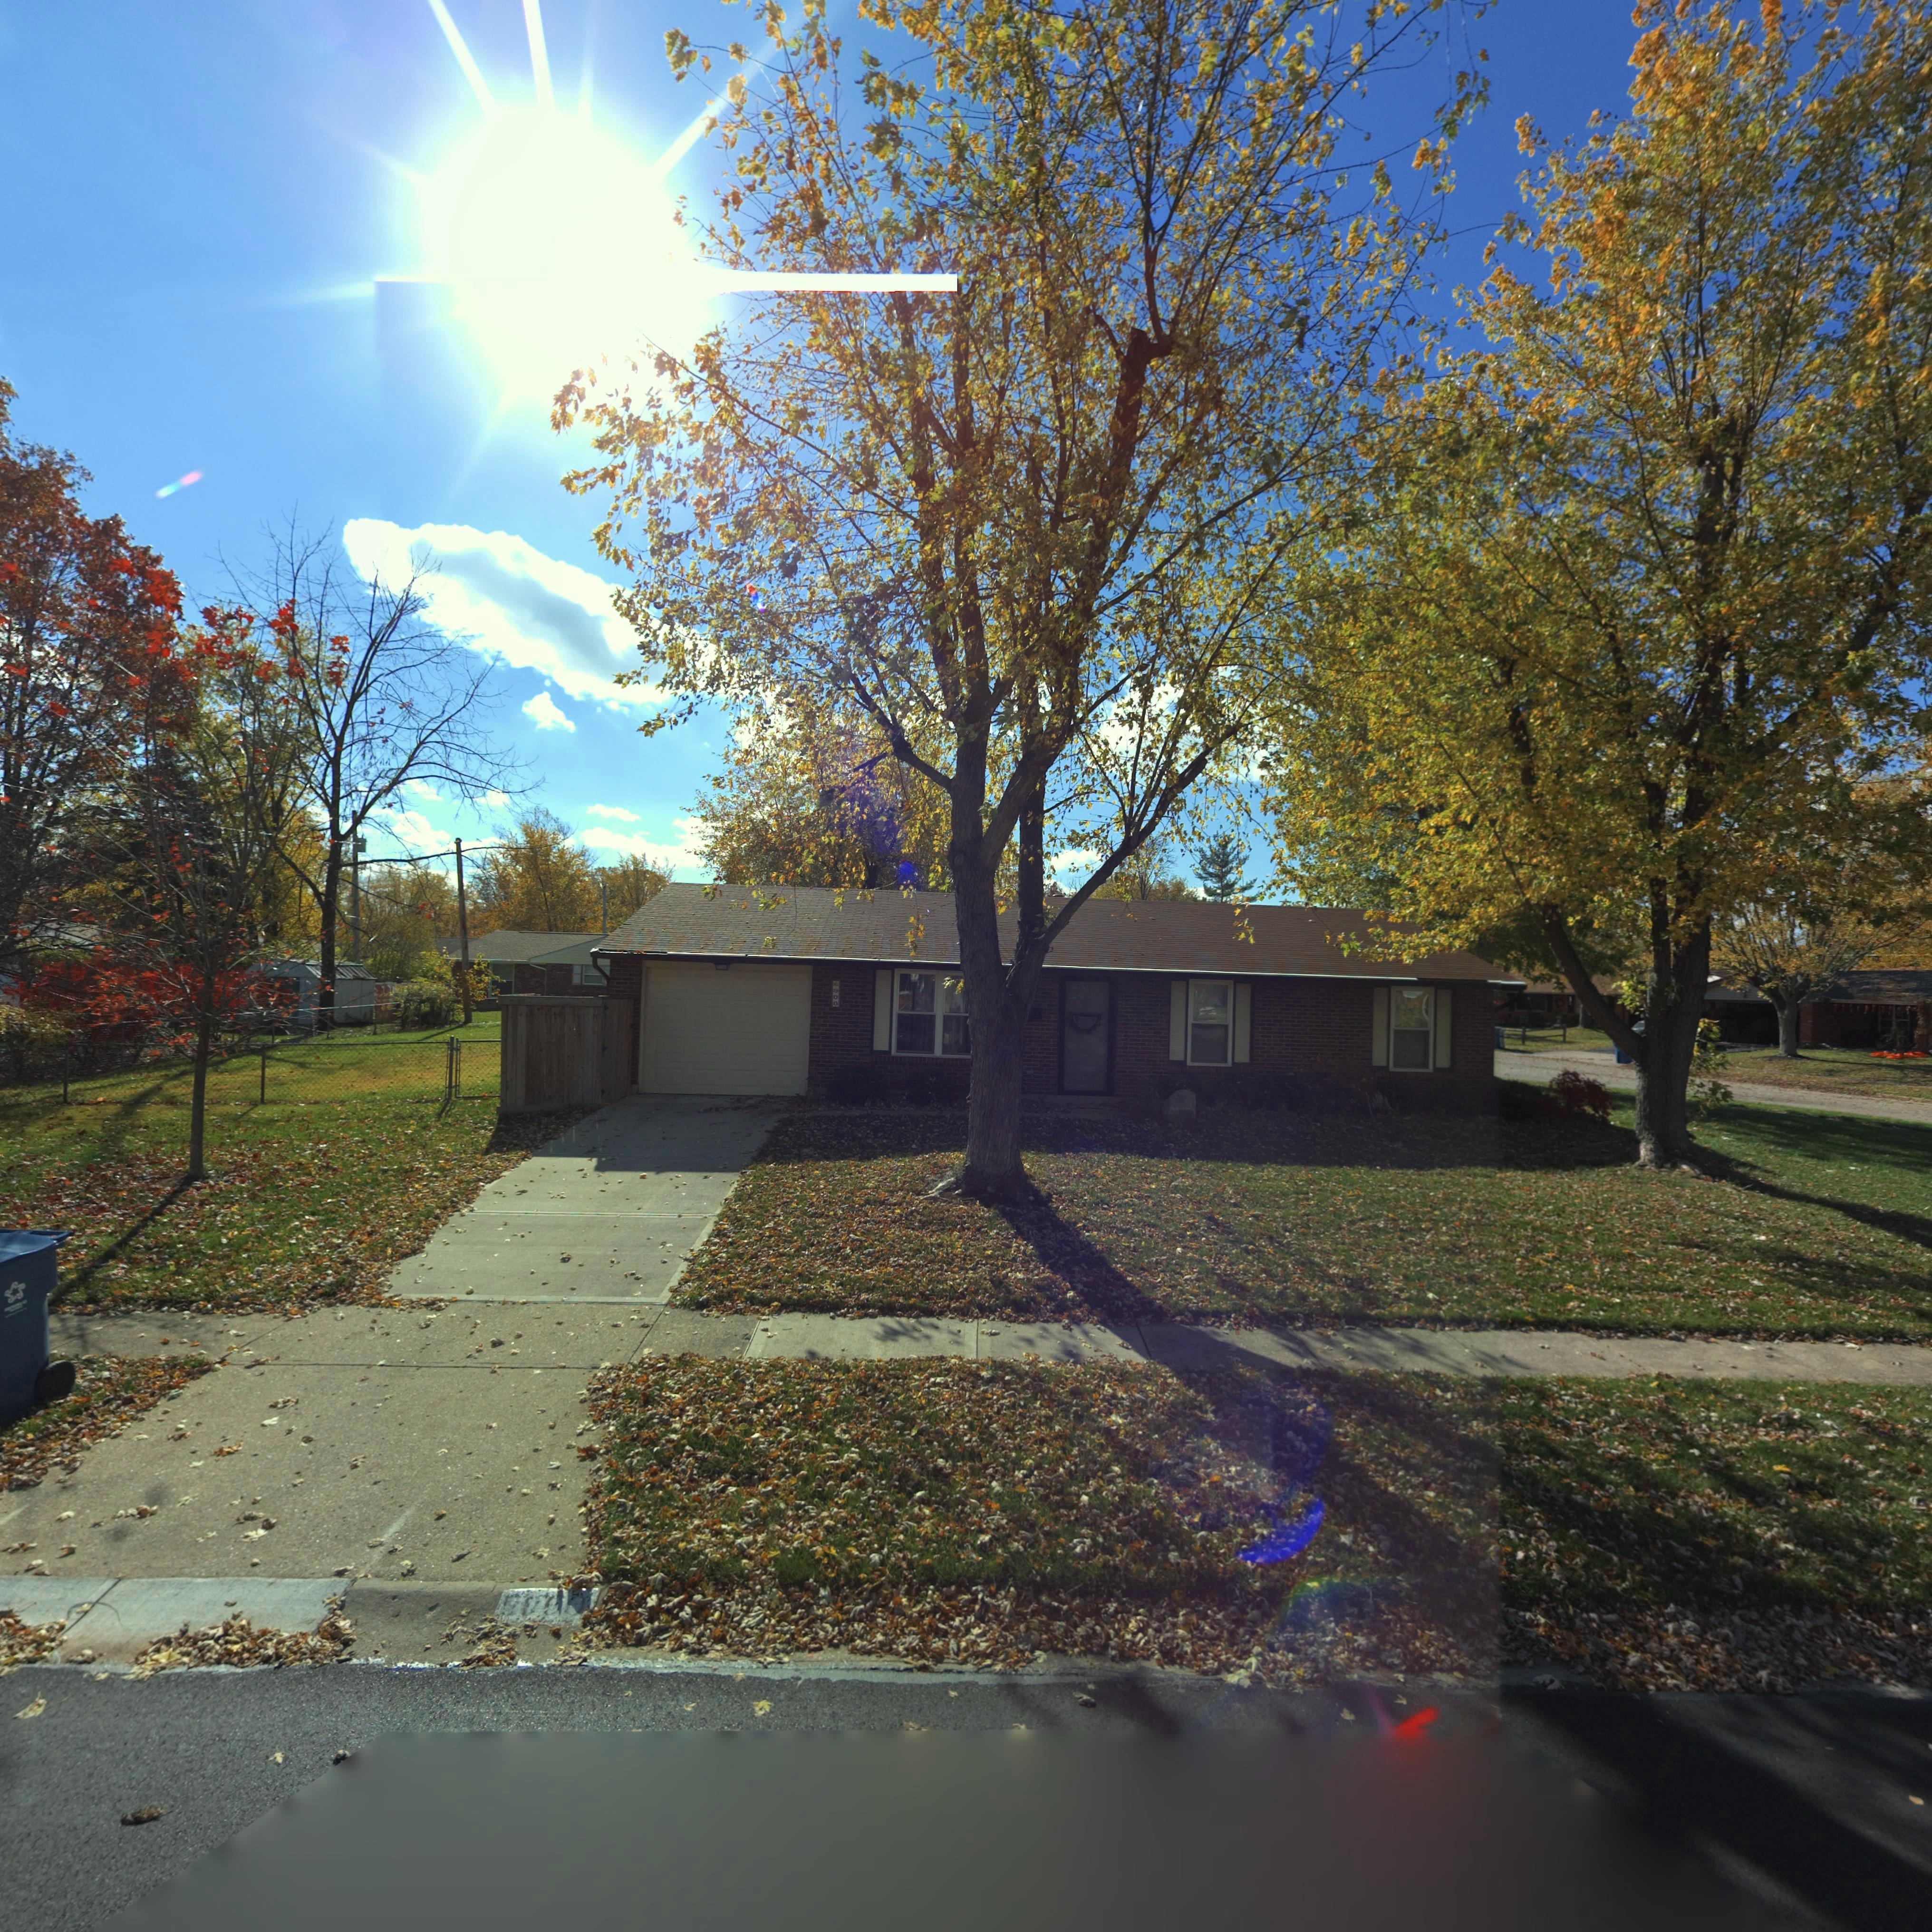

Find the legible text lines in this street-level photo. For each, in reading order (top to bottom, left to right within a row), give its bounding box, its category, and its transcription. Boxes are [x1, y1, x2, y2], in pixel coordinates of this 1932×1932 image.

[832, 981, 839, 1007] StreetNumber: 6900
[498, 1590, 588, 1622] StreetNumber: ***0